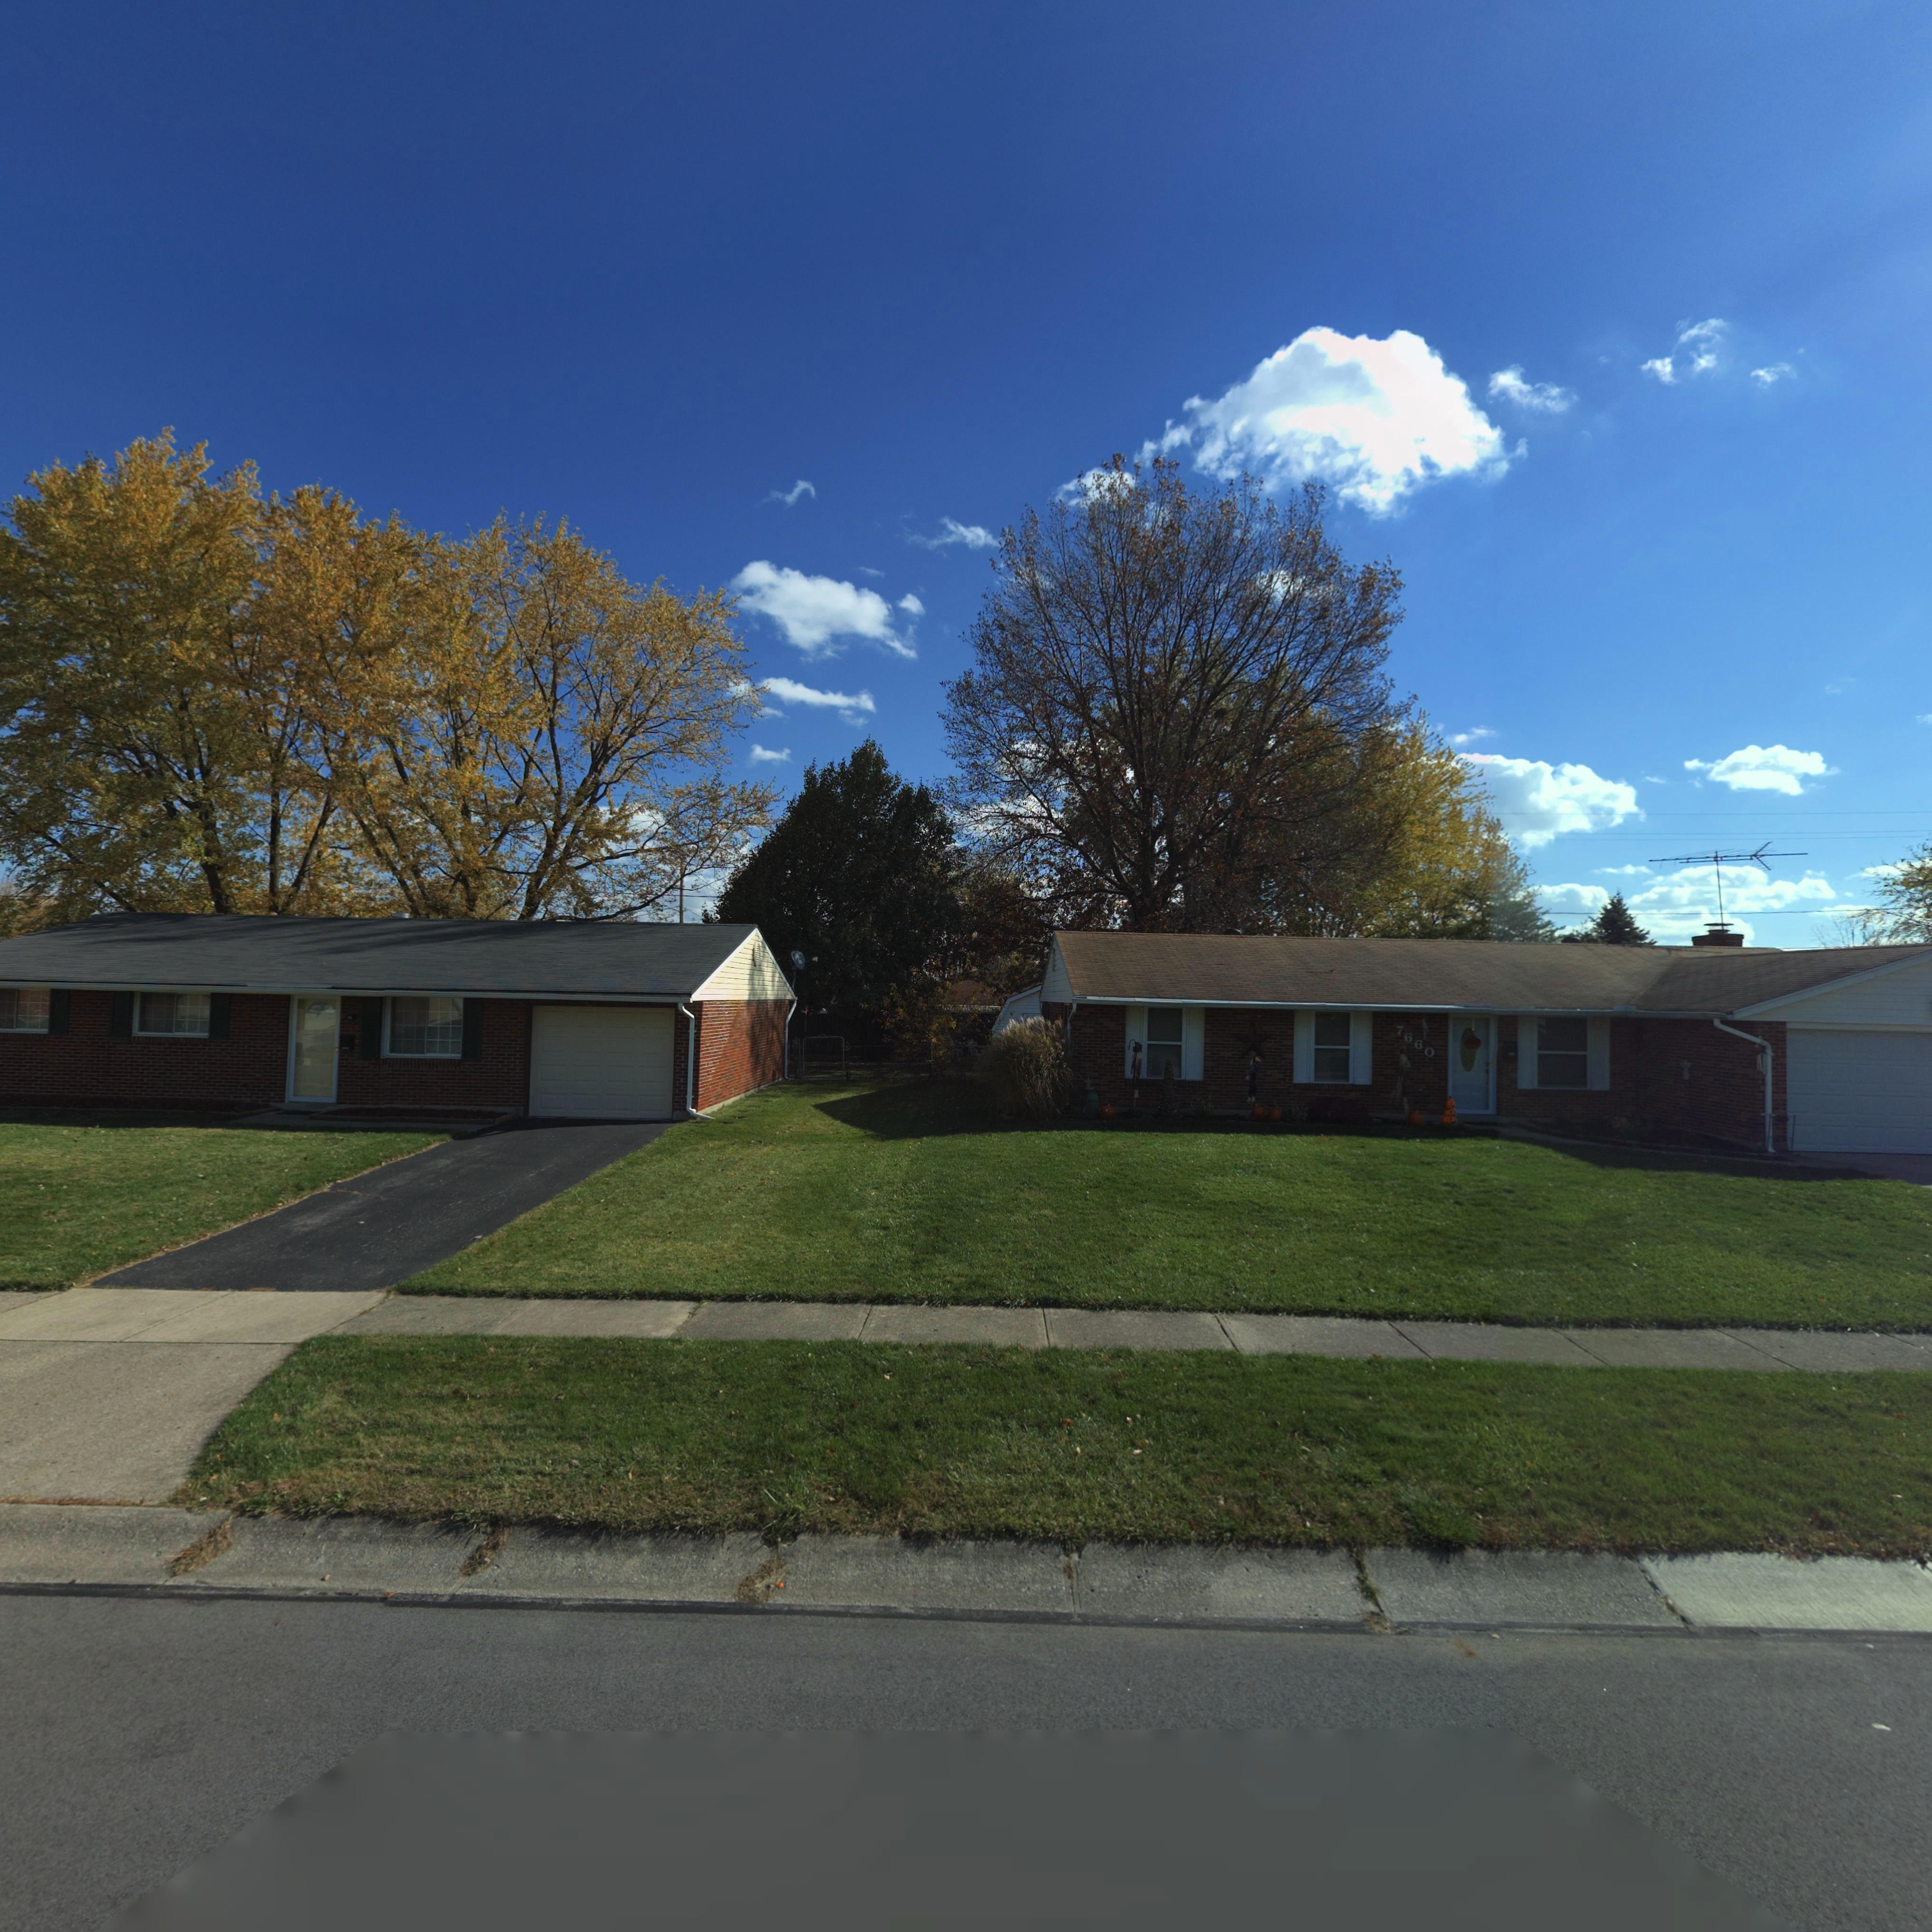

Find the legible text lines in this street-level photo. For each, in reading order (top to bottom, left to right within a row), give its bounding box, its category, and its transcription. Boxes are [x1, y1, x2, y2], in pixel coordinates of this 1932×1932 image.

[1395, 1024, 1437, 1059] StreetNumber: 7660